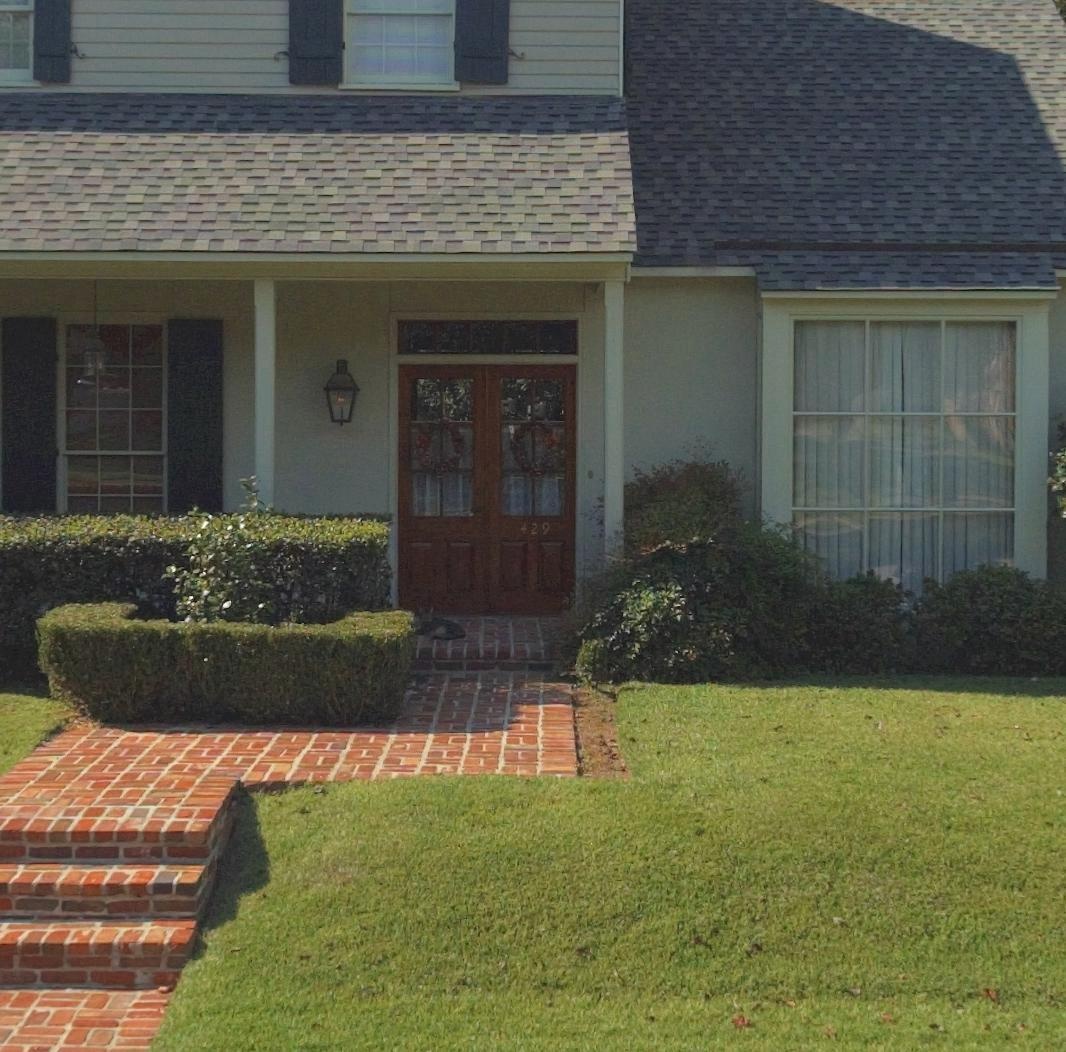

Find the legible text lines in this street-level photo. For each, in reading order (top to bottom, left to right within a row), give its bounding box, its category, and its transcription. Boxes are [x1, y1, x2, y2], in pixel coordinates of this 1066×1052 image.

[520, 522, 550, 535] StreetNumber: 429